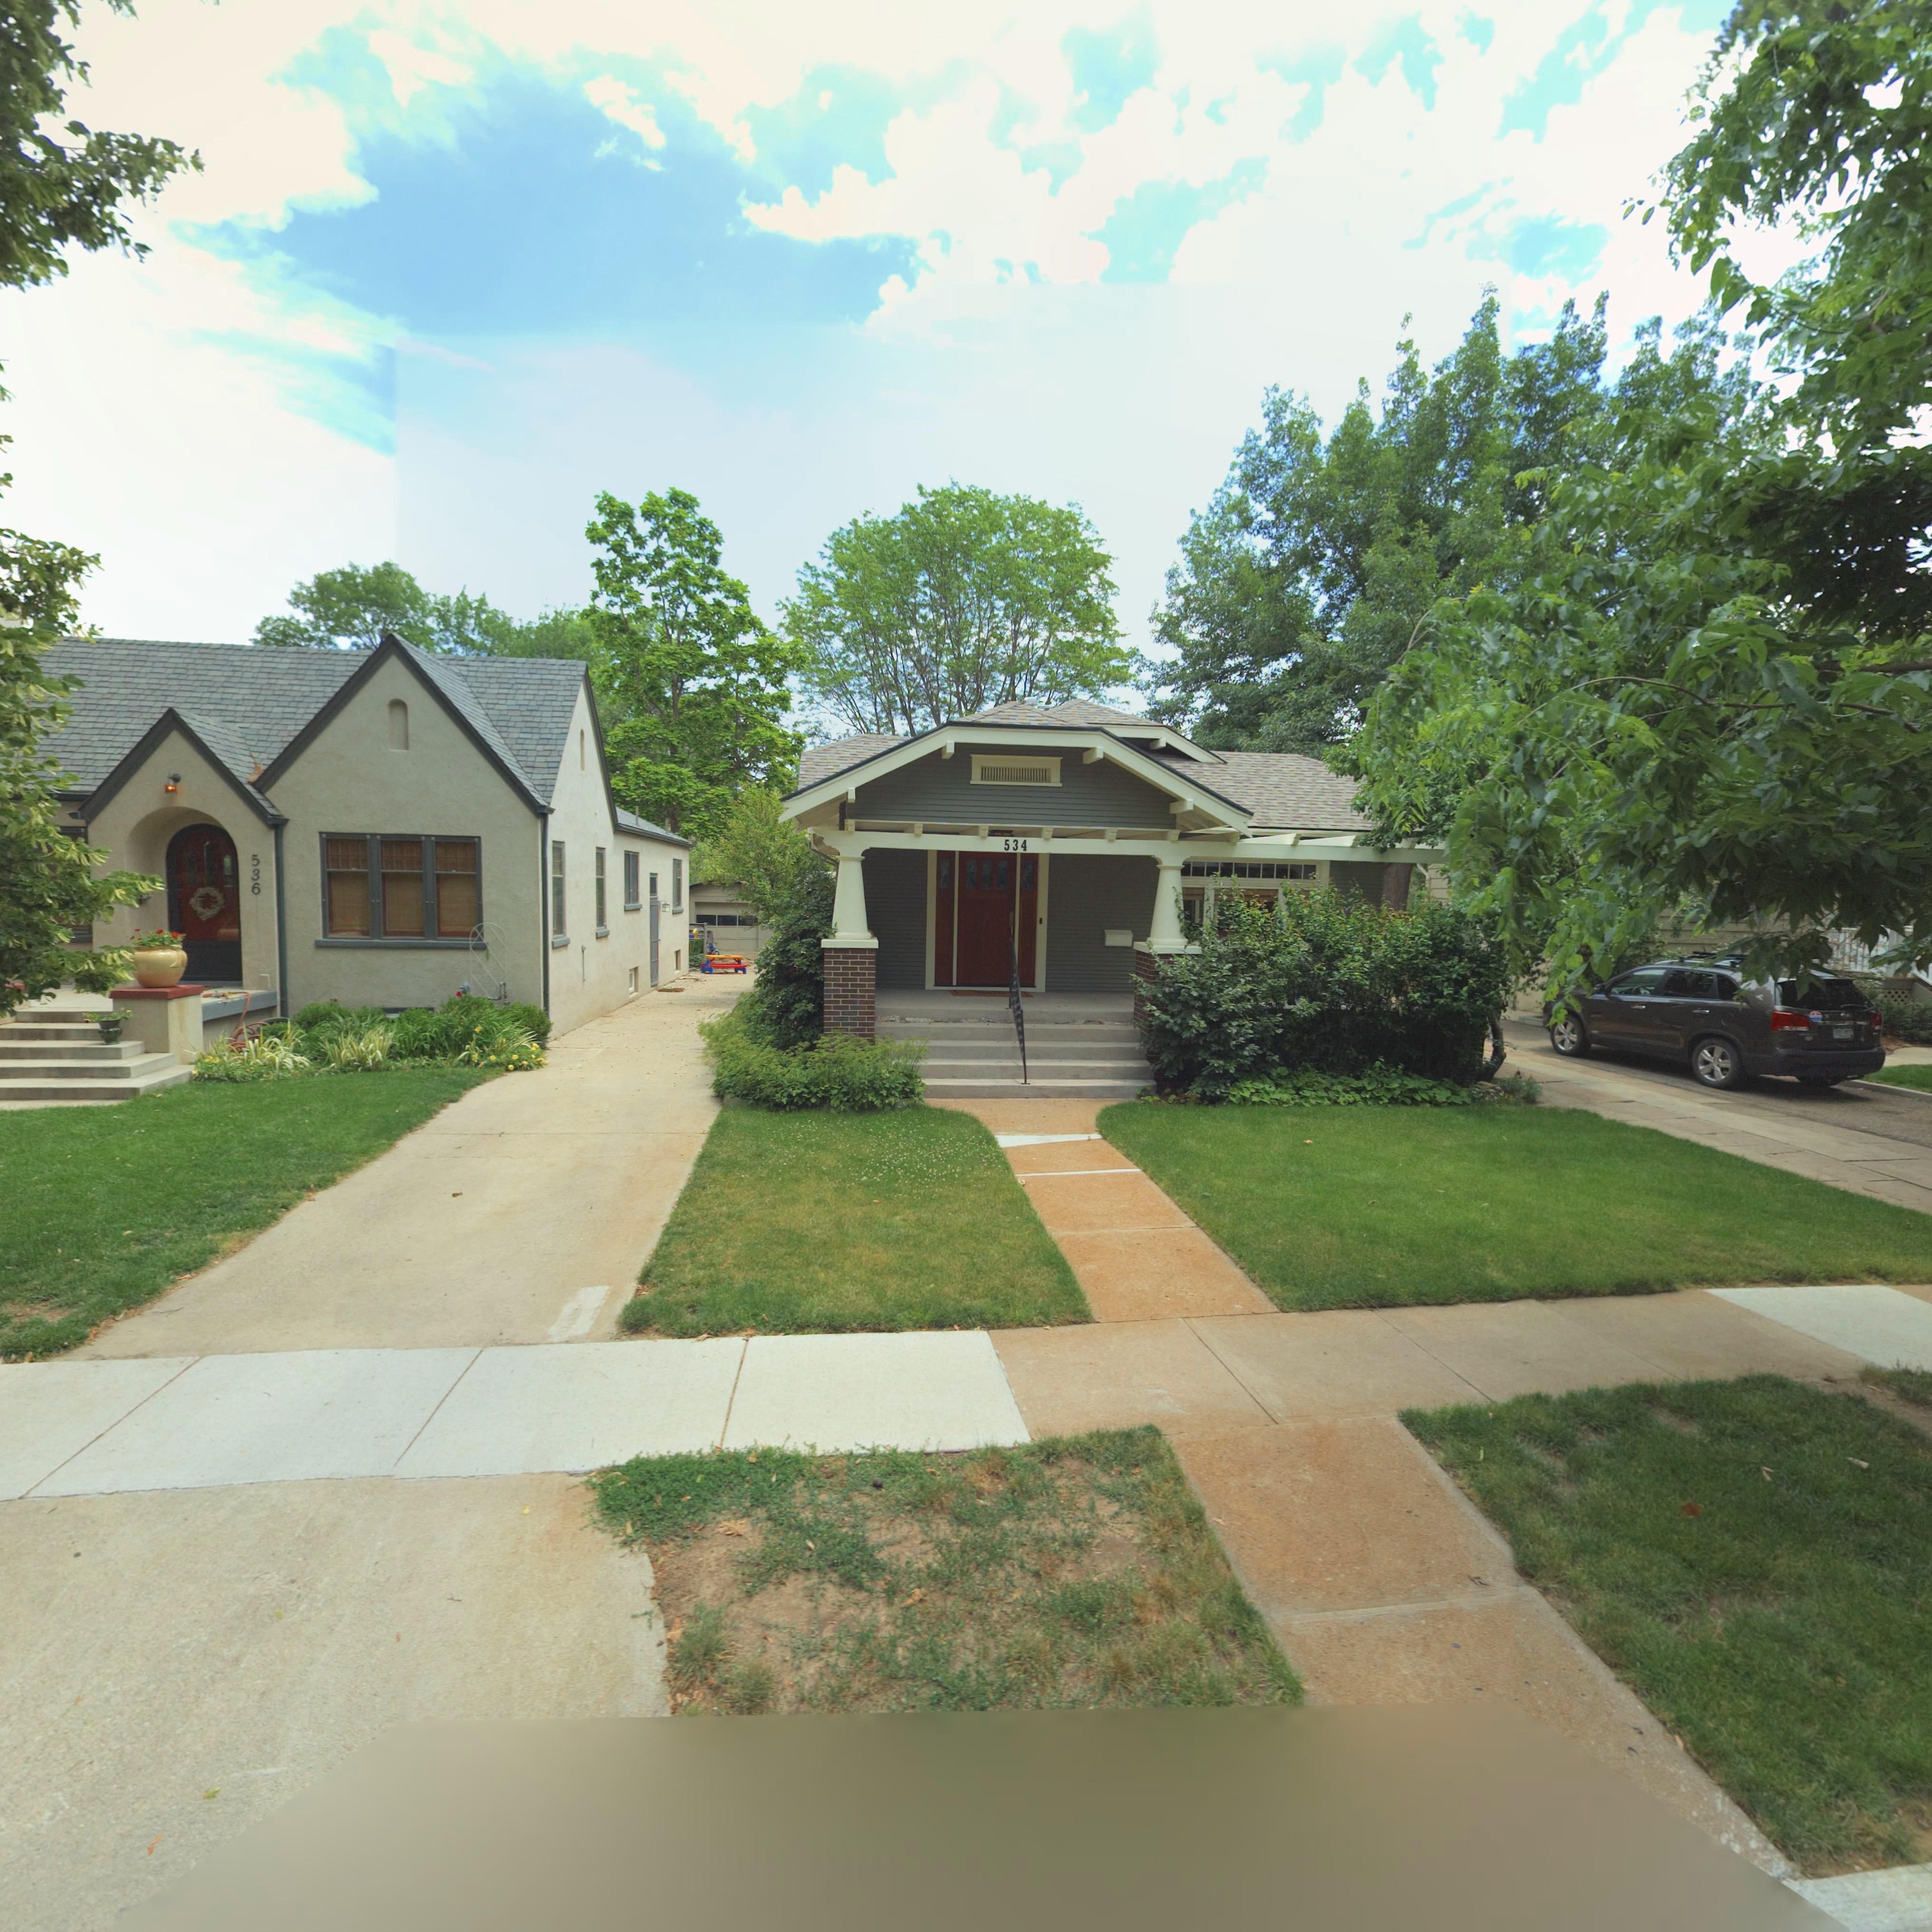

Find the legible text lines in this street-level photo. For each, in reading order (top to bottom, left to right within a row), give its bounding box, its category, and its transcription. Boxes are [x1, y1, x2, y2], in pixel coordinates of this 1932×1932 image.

[1004, 838, 1027, 852] StreetNumber: 534
[251, 853, 261, 895] StreetNumber: 536